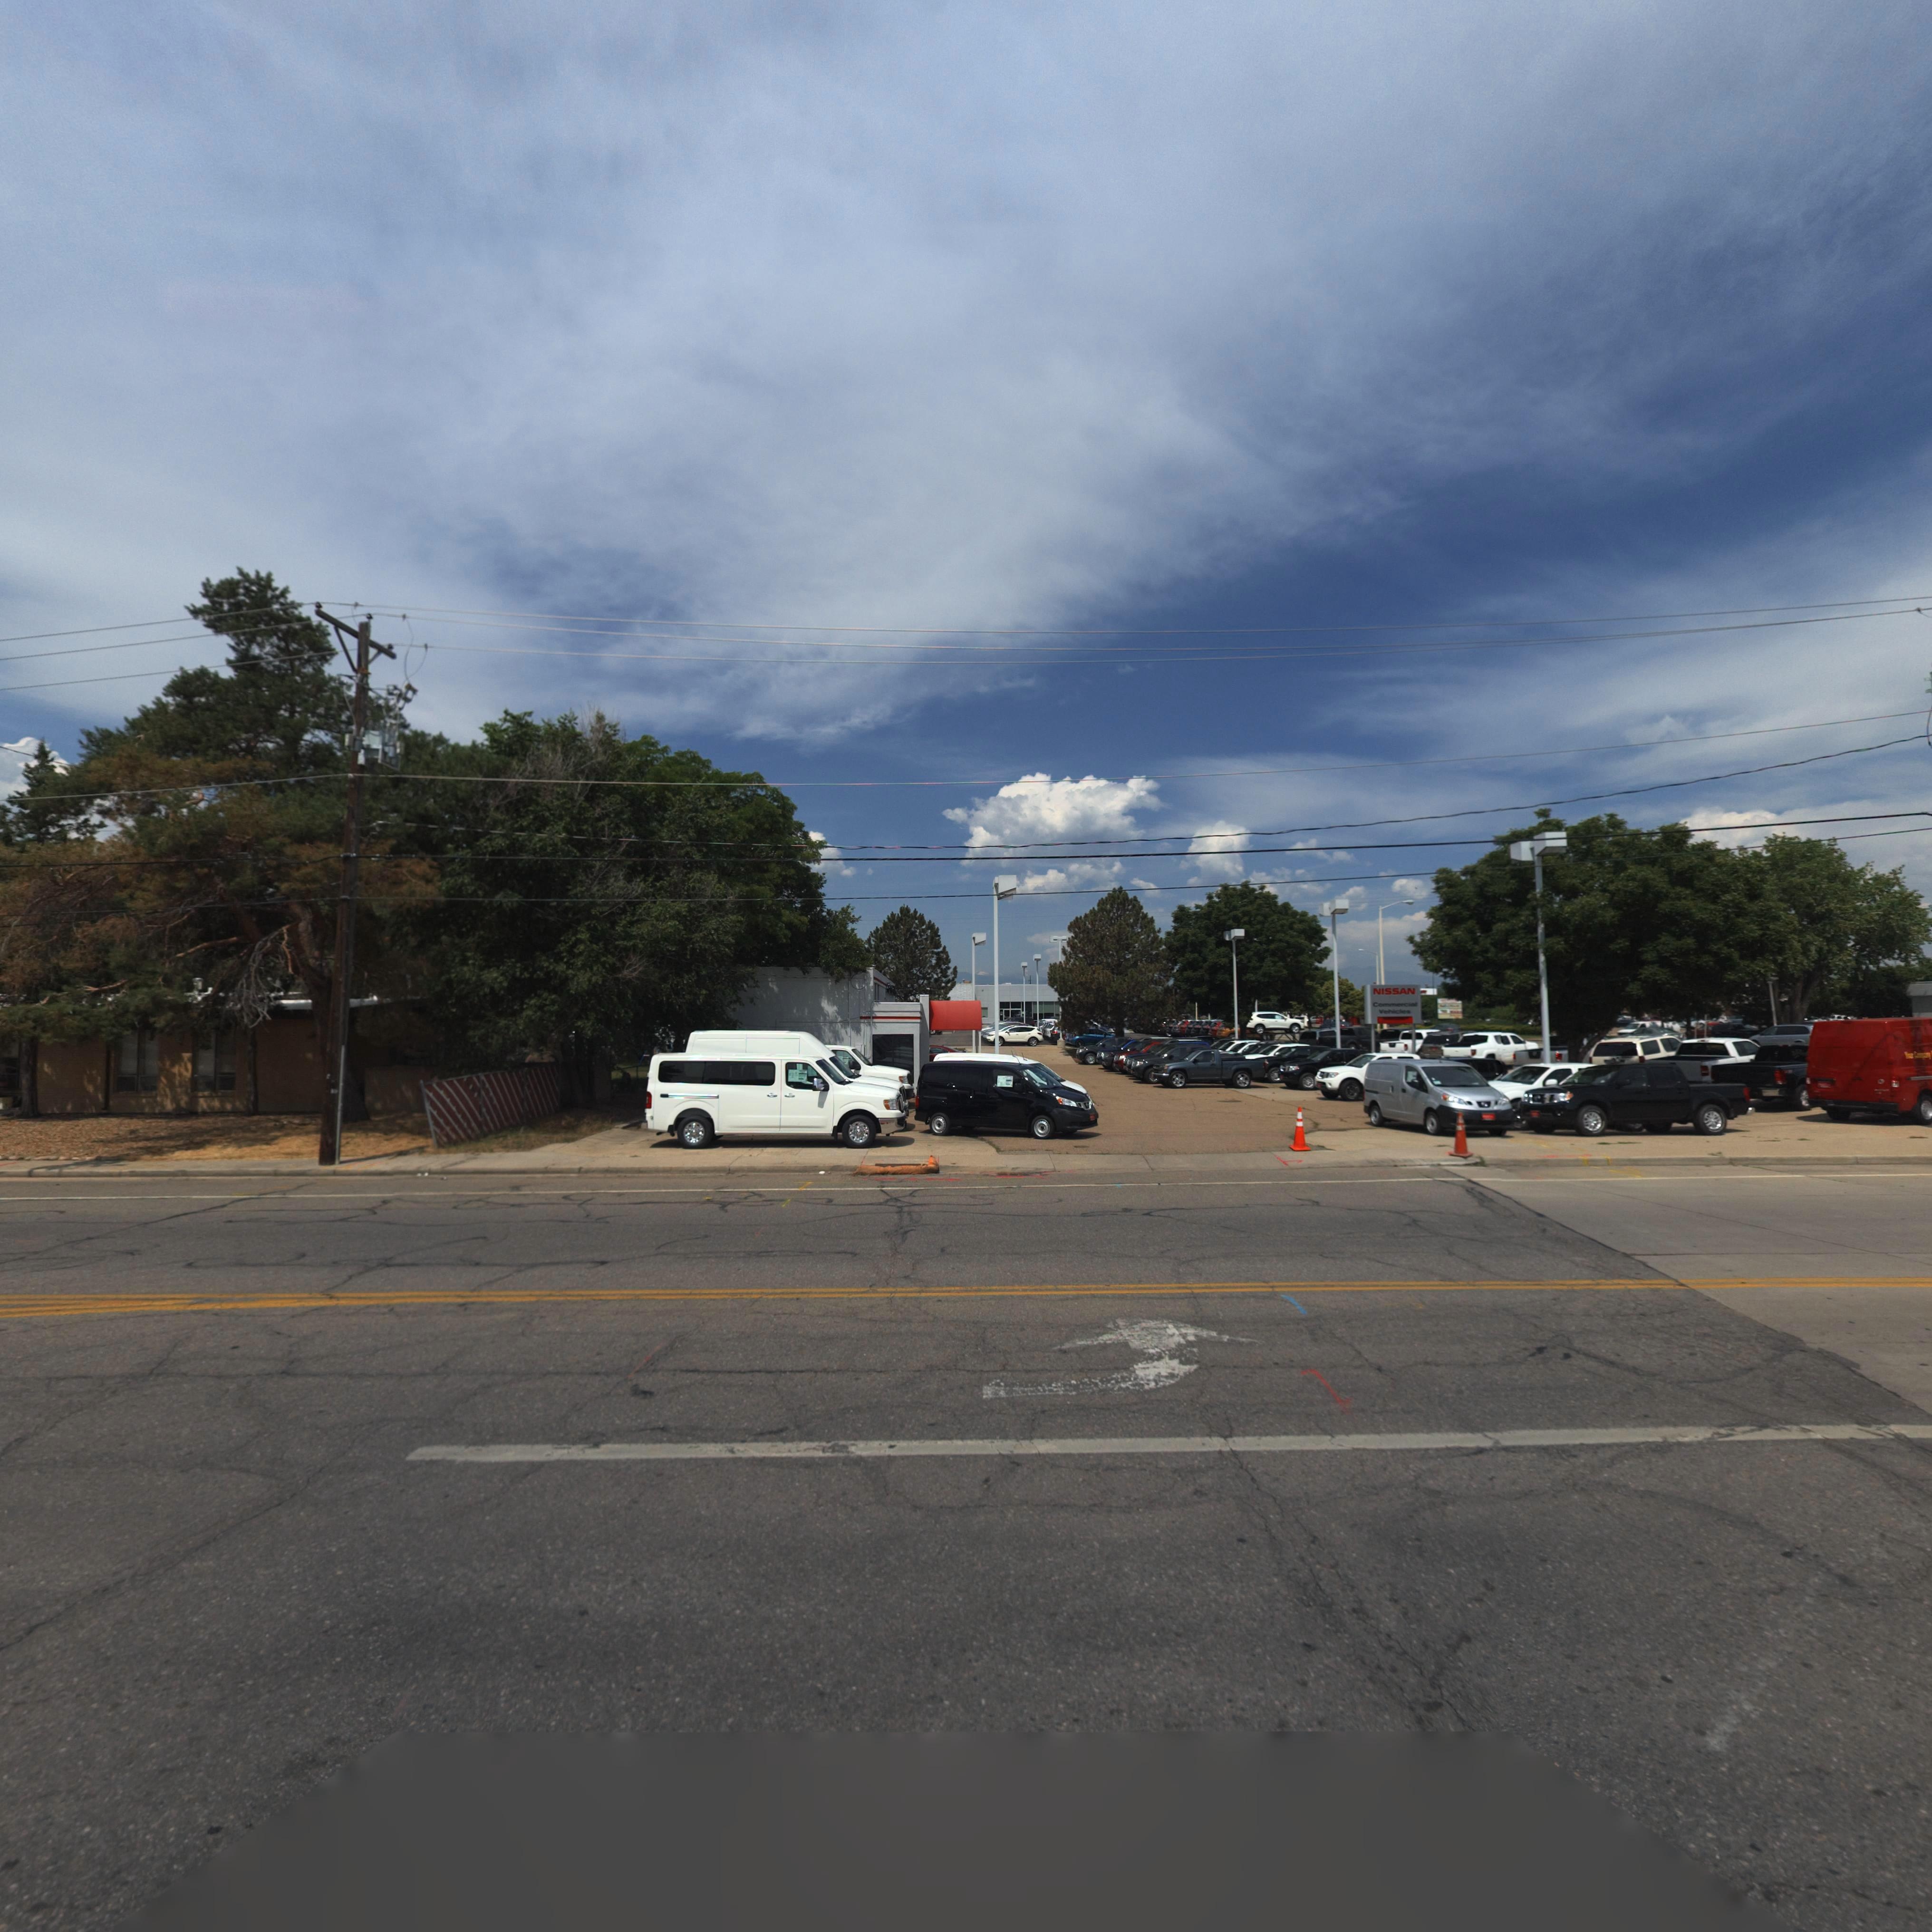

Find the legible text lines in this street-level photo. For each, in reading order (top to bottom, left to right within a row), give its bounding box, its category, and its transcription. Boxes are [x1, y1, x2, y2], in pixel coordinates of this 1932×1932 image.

[1372, 987, 1416, 995] BusinessName: NISSAN